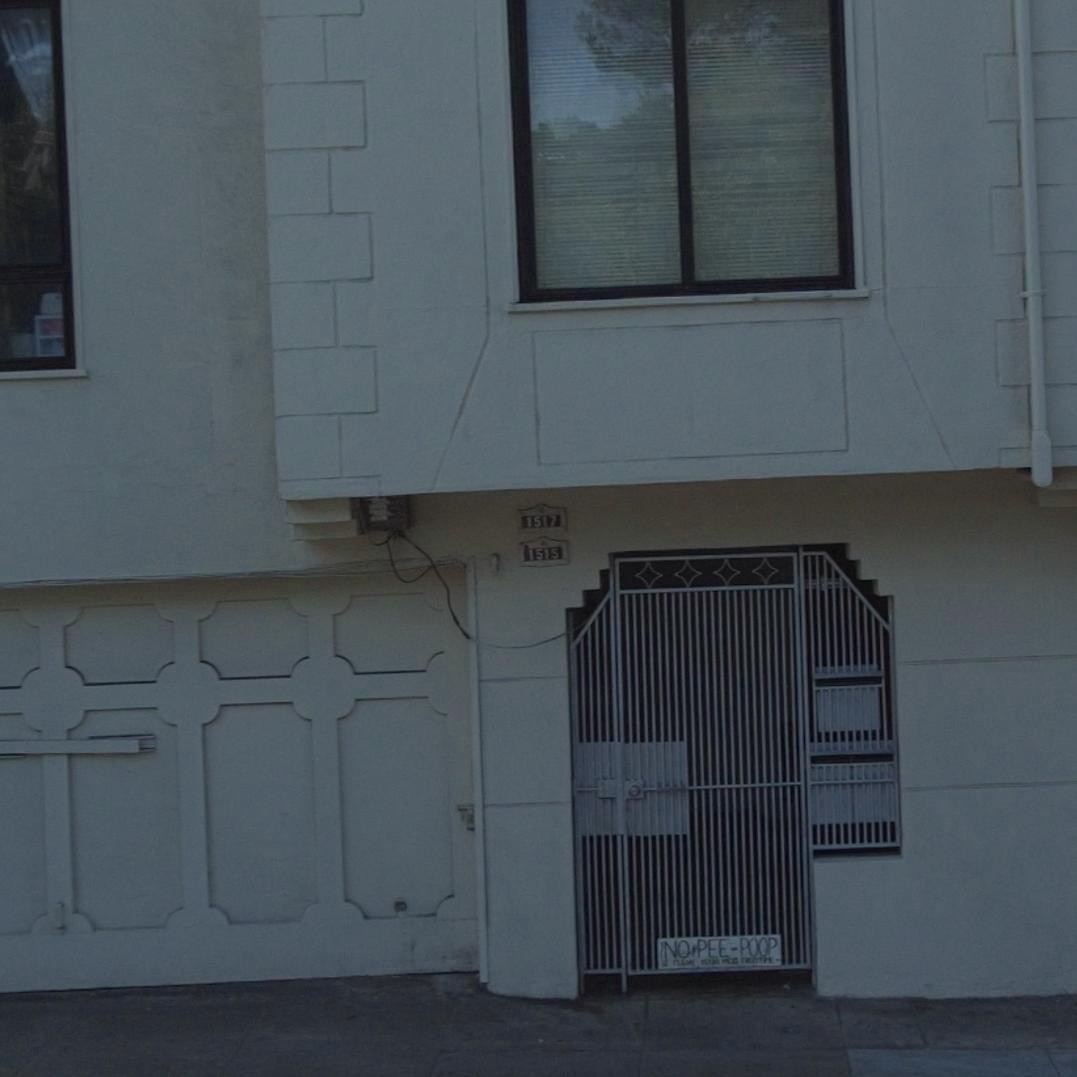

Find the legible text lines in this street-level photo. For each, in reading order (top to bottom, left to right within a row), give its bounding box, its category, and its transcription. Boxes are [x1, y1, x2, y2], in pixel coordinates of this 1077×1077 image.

[524, 514, 559, 528] StreetNumber: 1517
[528, 547, 562, 562] StreetNumber: 1515
[663, 936, 779, 961] None: NO*PEE-POOP